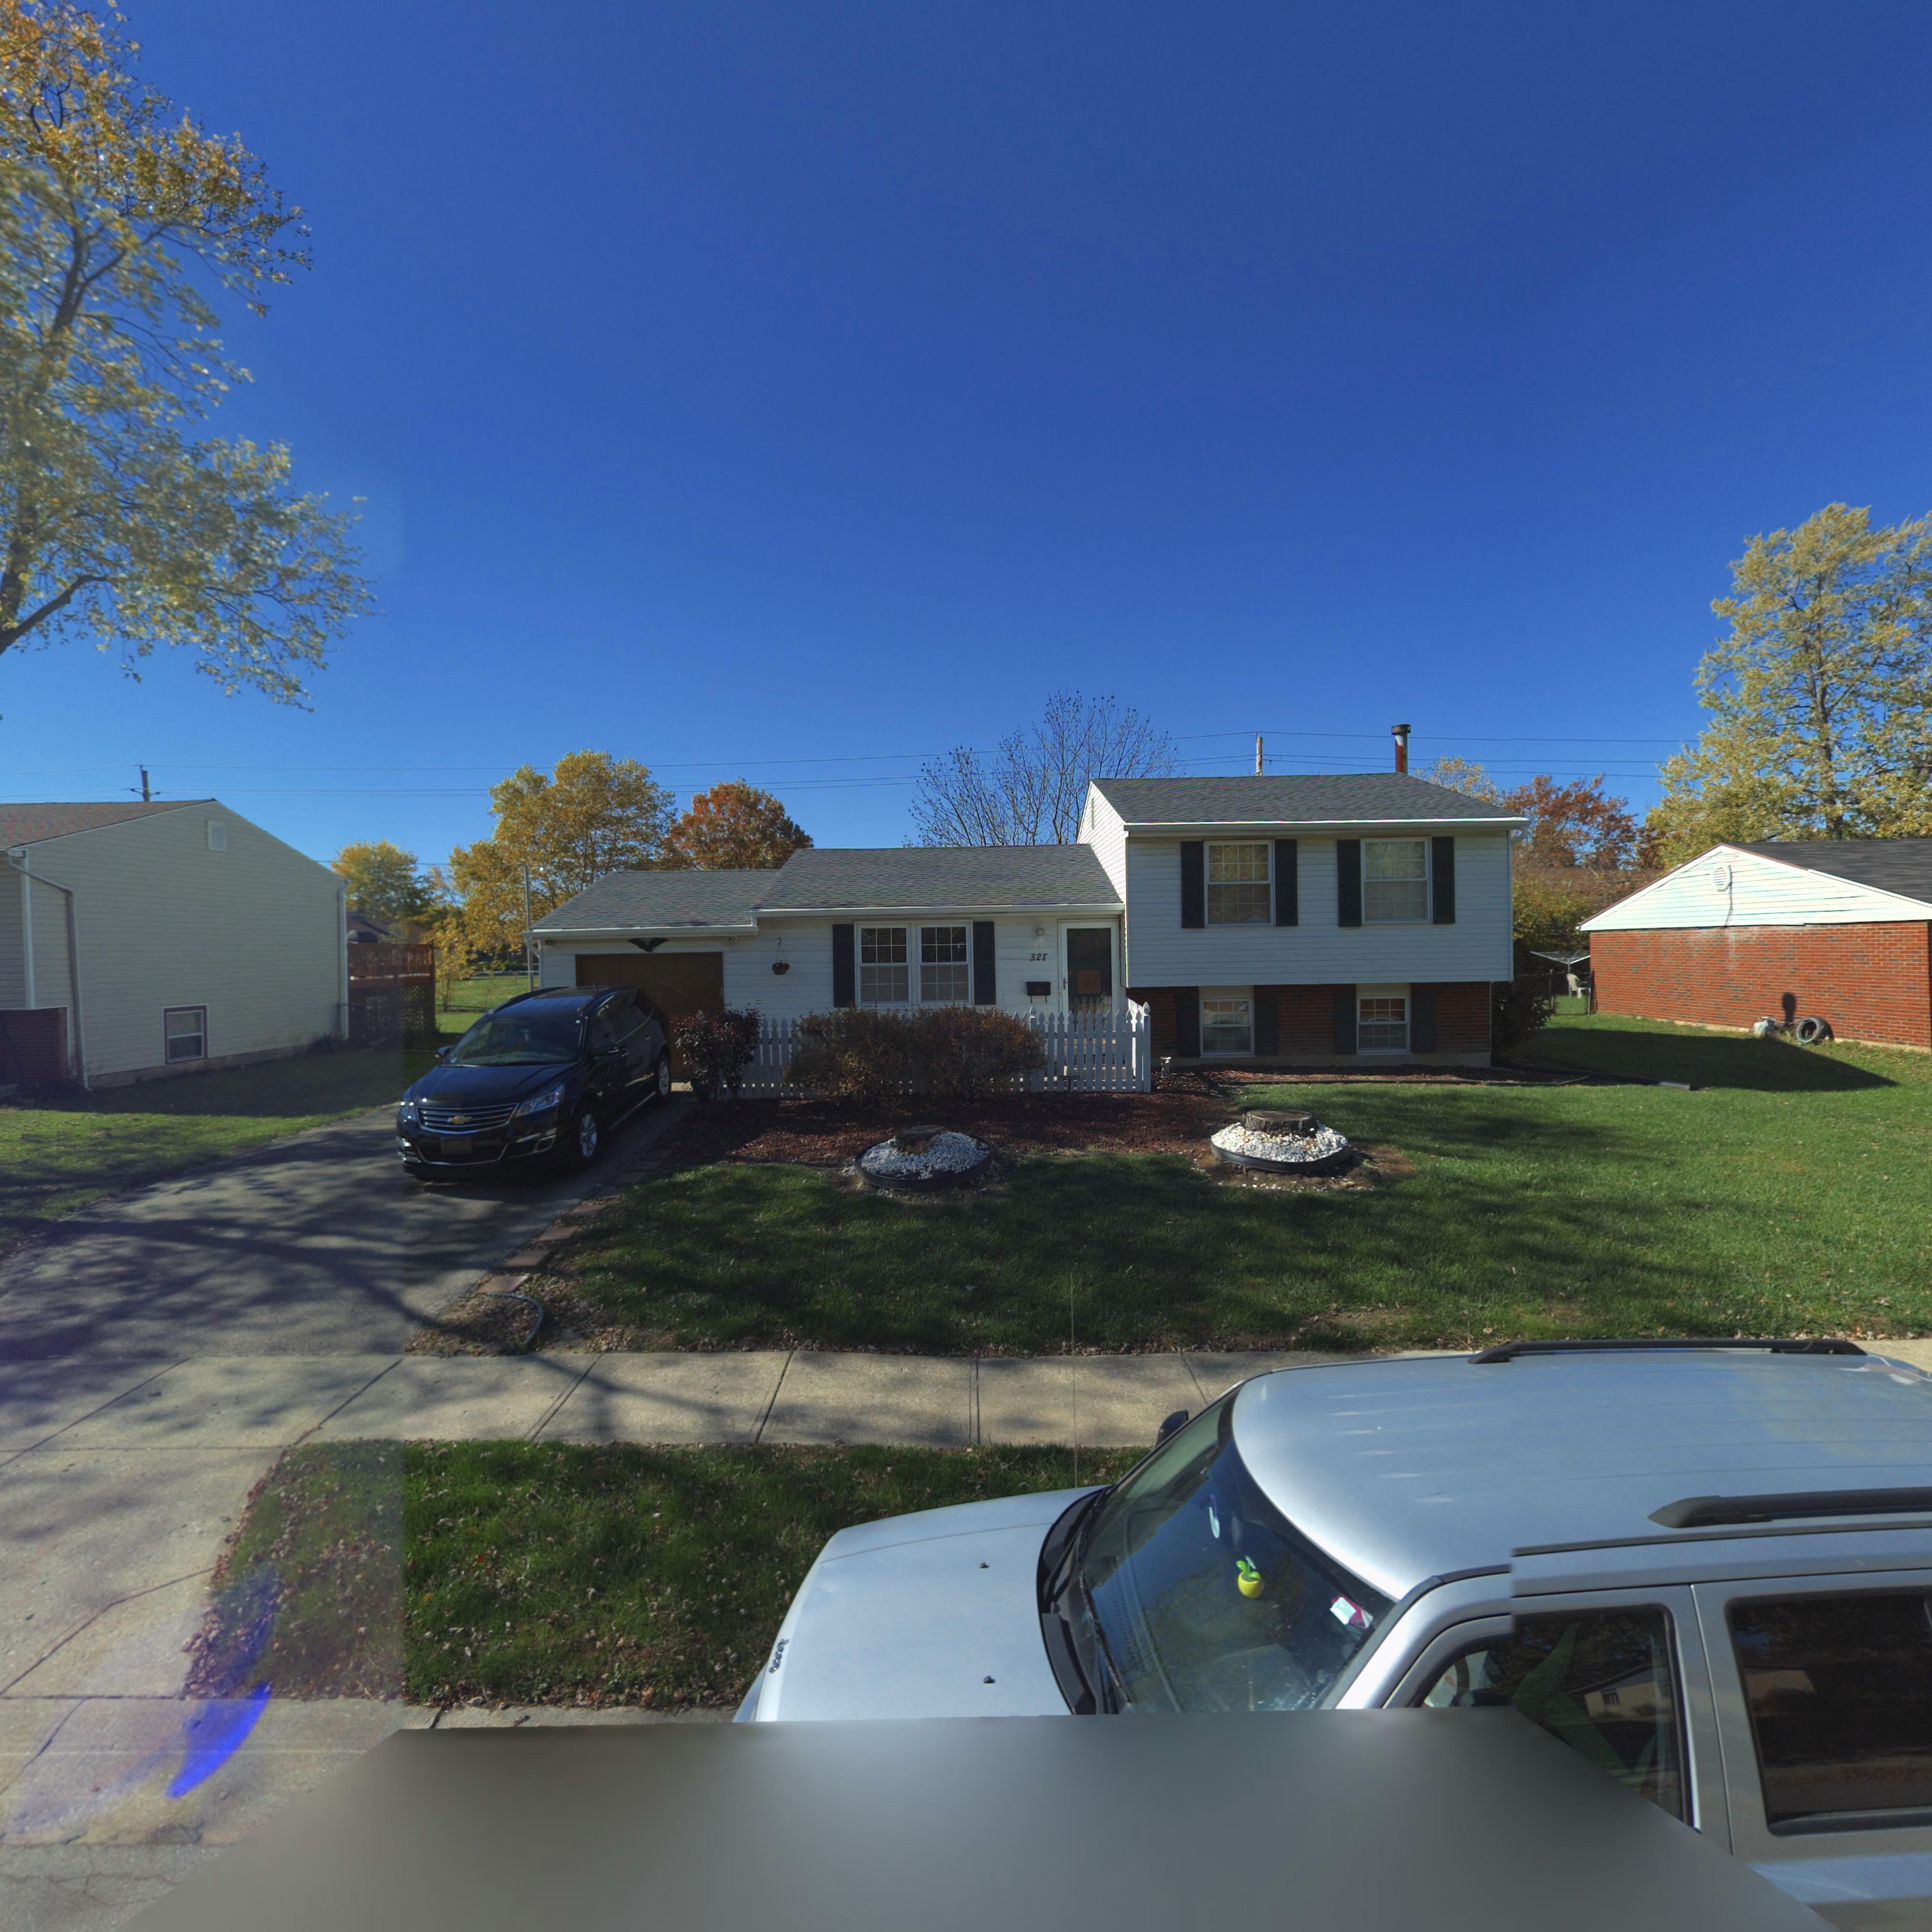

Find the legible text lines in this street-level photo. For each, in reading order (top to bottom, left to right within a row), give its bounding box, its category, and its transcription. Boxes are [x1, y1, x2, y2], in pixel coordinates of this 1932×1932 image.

[1029, 952, 1049, 962] StreetNumber: 328